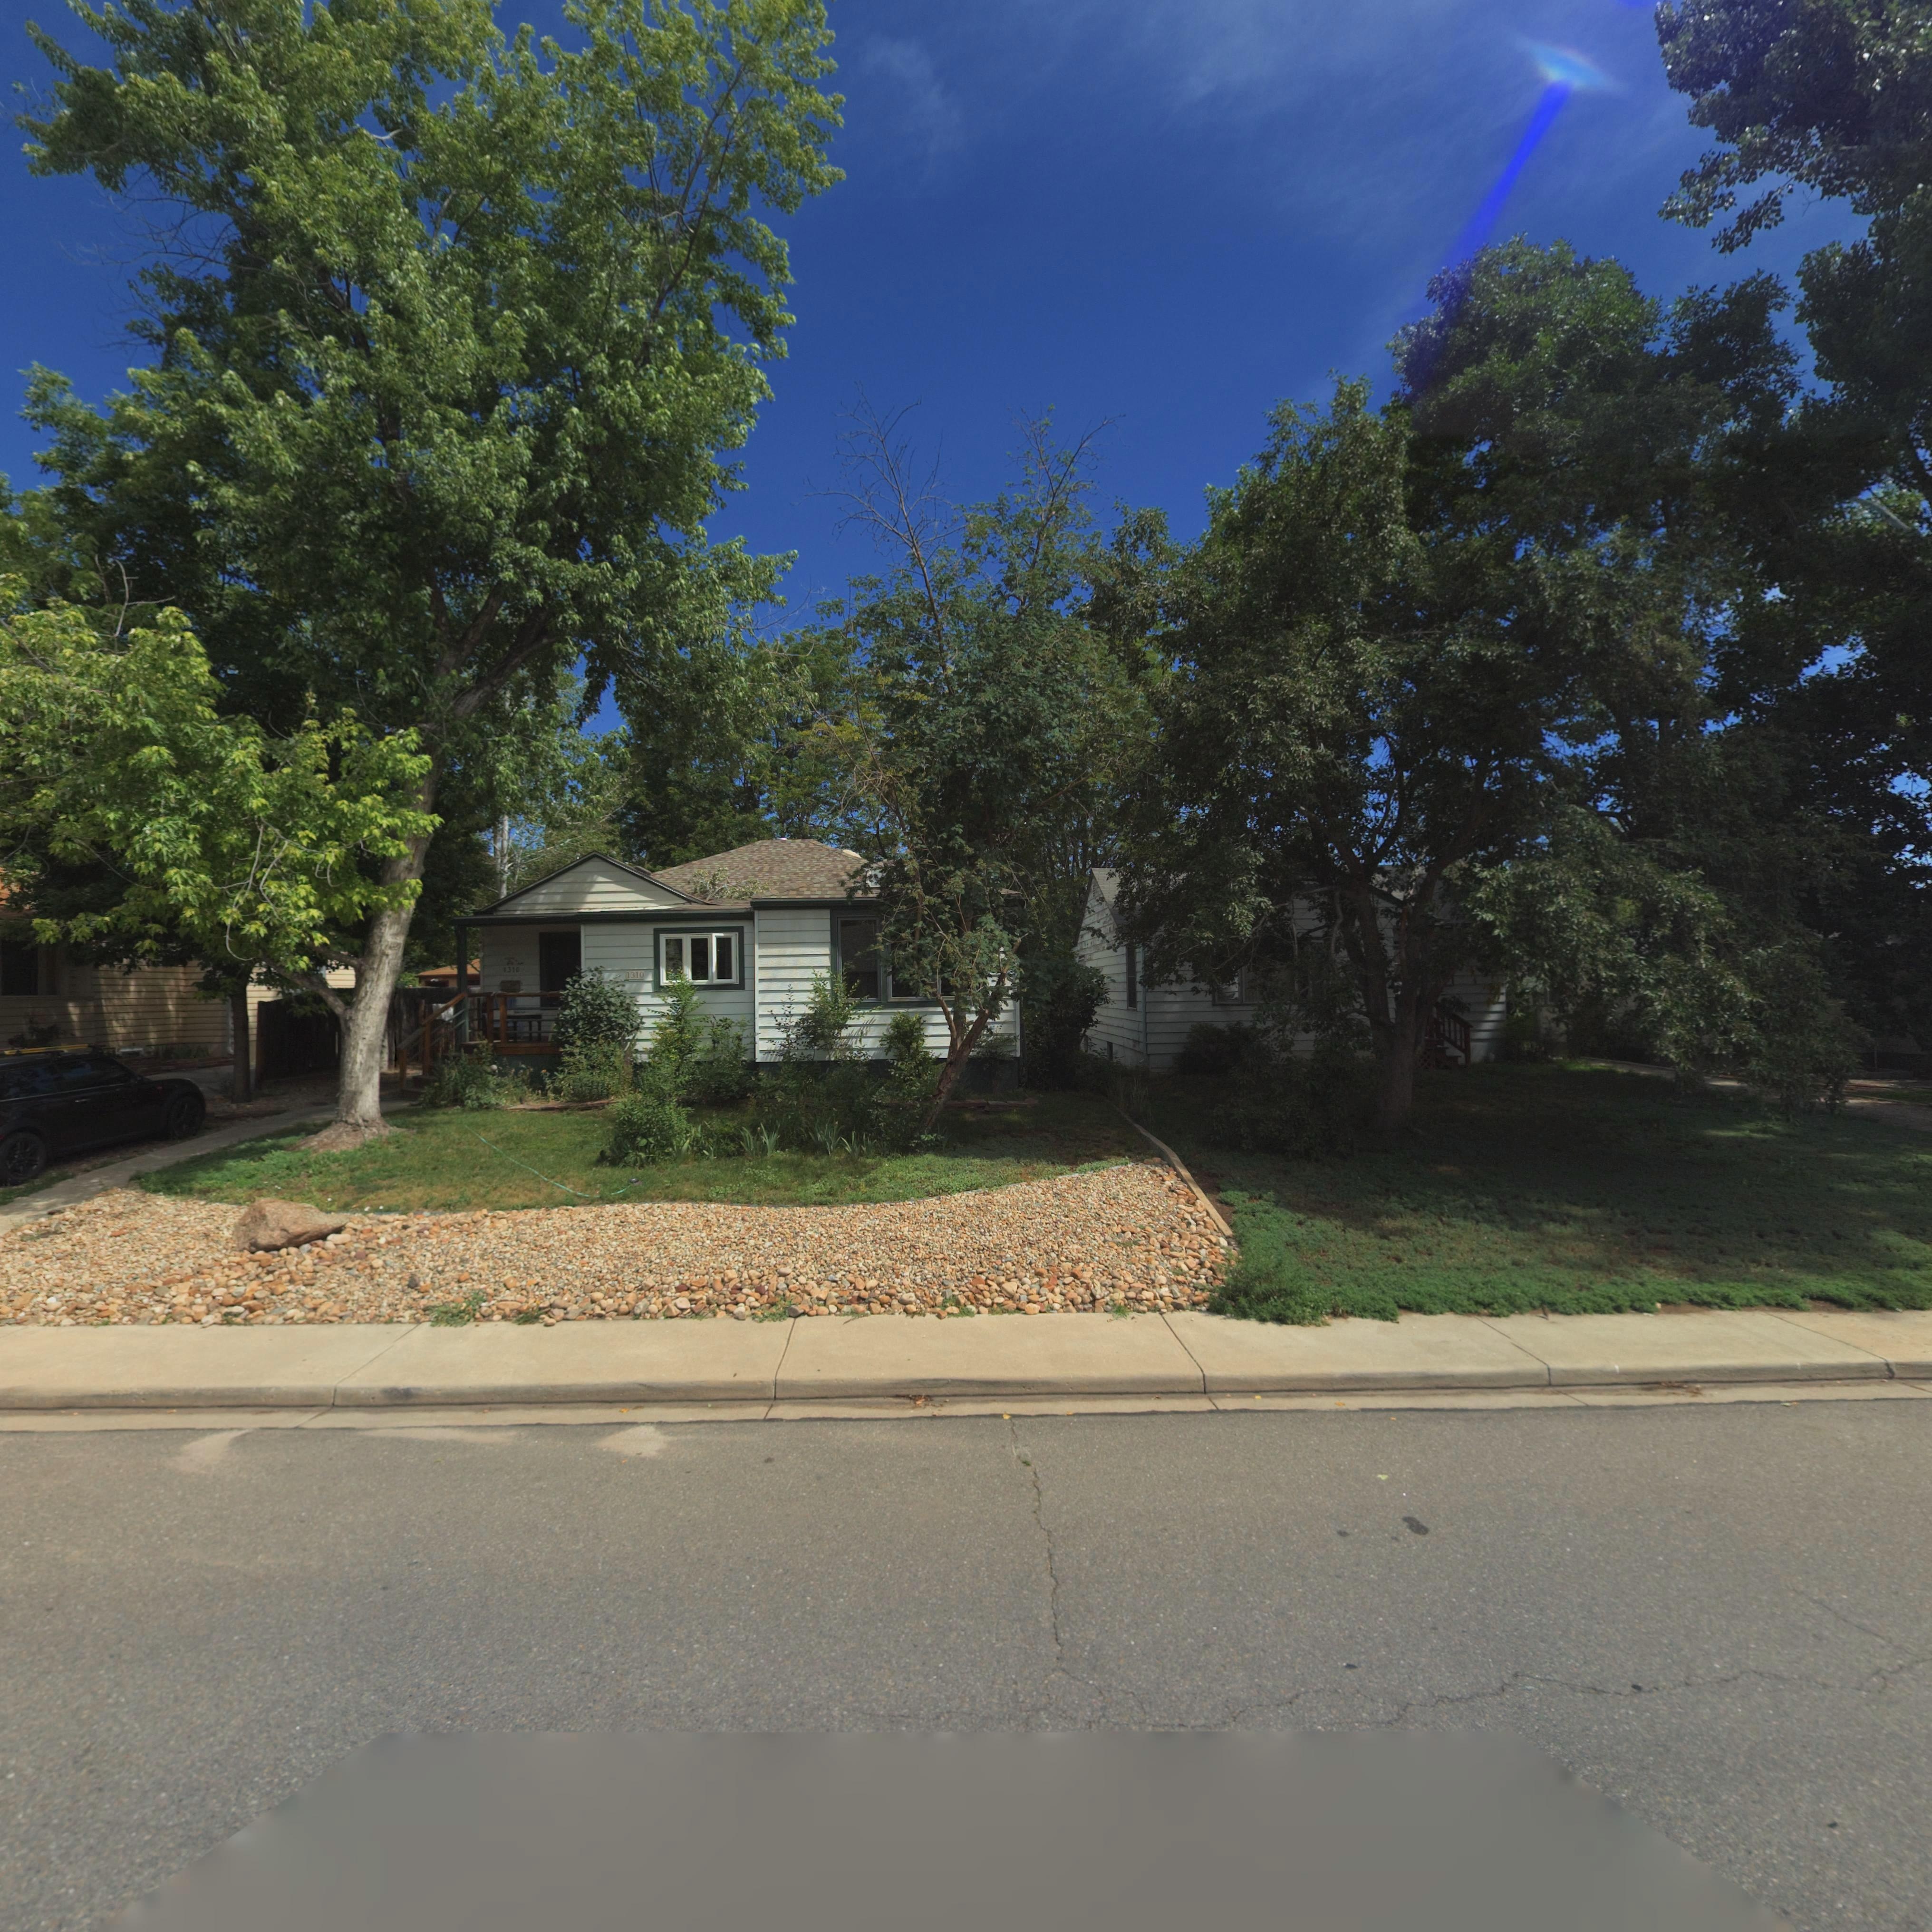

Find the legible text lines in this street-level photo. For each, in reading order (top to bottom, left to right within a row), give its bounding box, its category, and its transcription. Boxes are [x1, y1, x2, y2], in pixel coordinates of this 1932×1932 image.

[502, 966, 521, 973] StreetNumber: 1310
[626, 971, 645, 978] StreetNumber: 1310